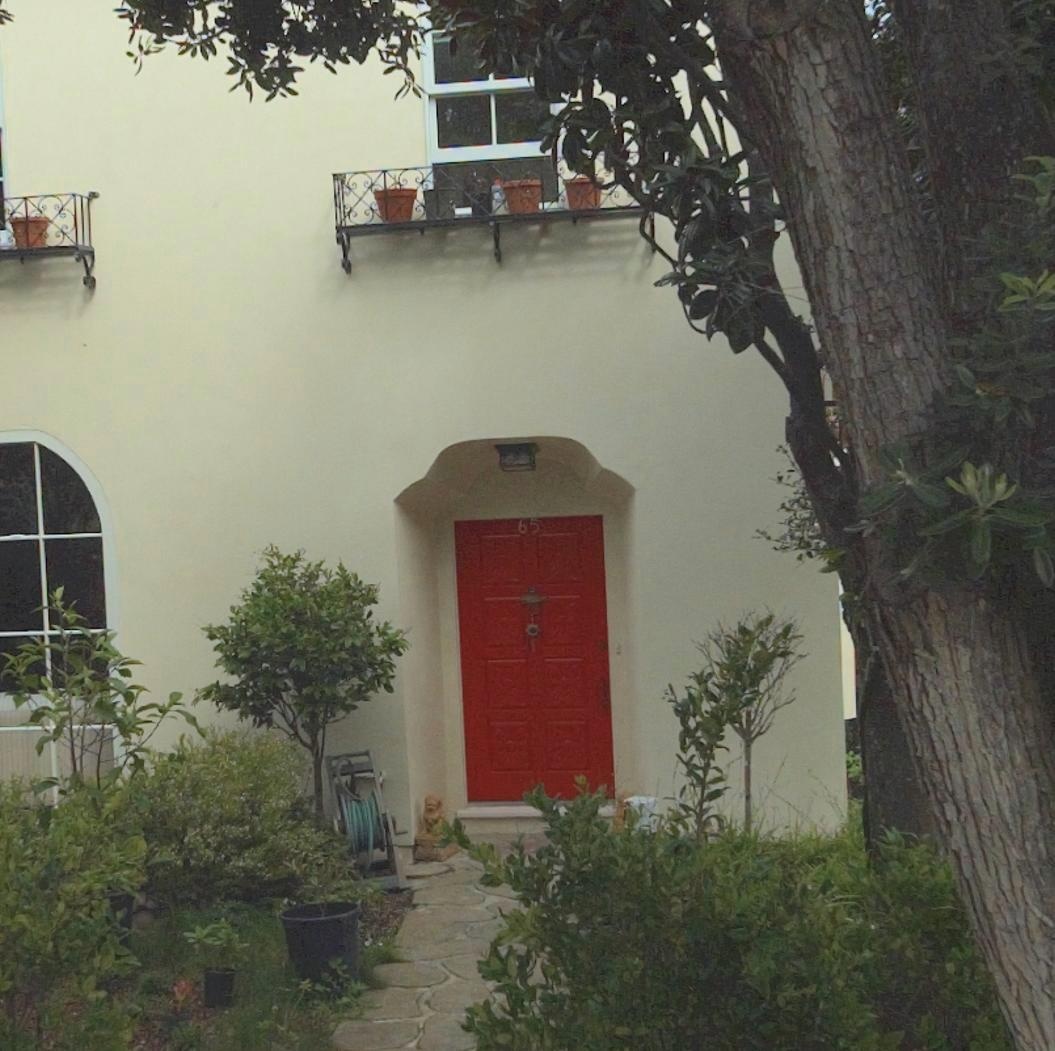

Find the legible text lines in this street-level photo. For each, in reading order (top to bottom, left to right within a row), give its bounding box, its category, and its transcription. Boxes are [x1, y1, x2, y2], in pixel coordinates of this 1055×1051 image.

[518, 517, 541, 534] StreetNumber: 65